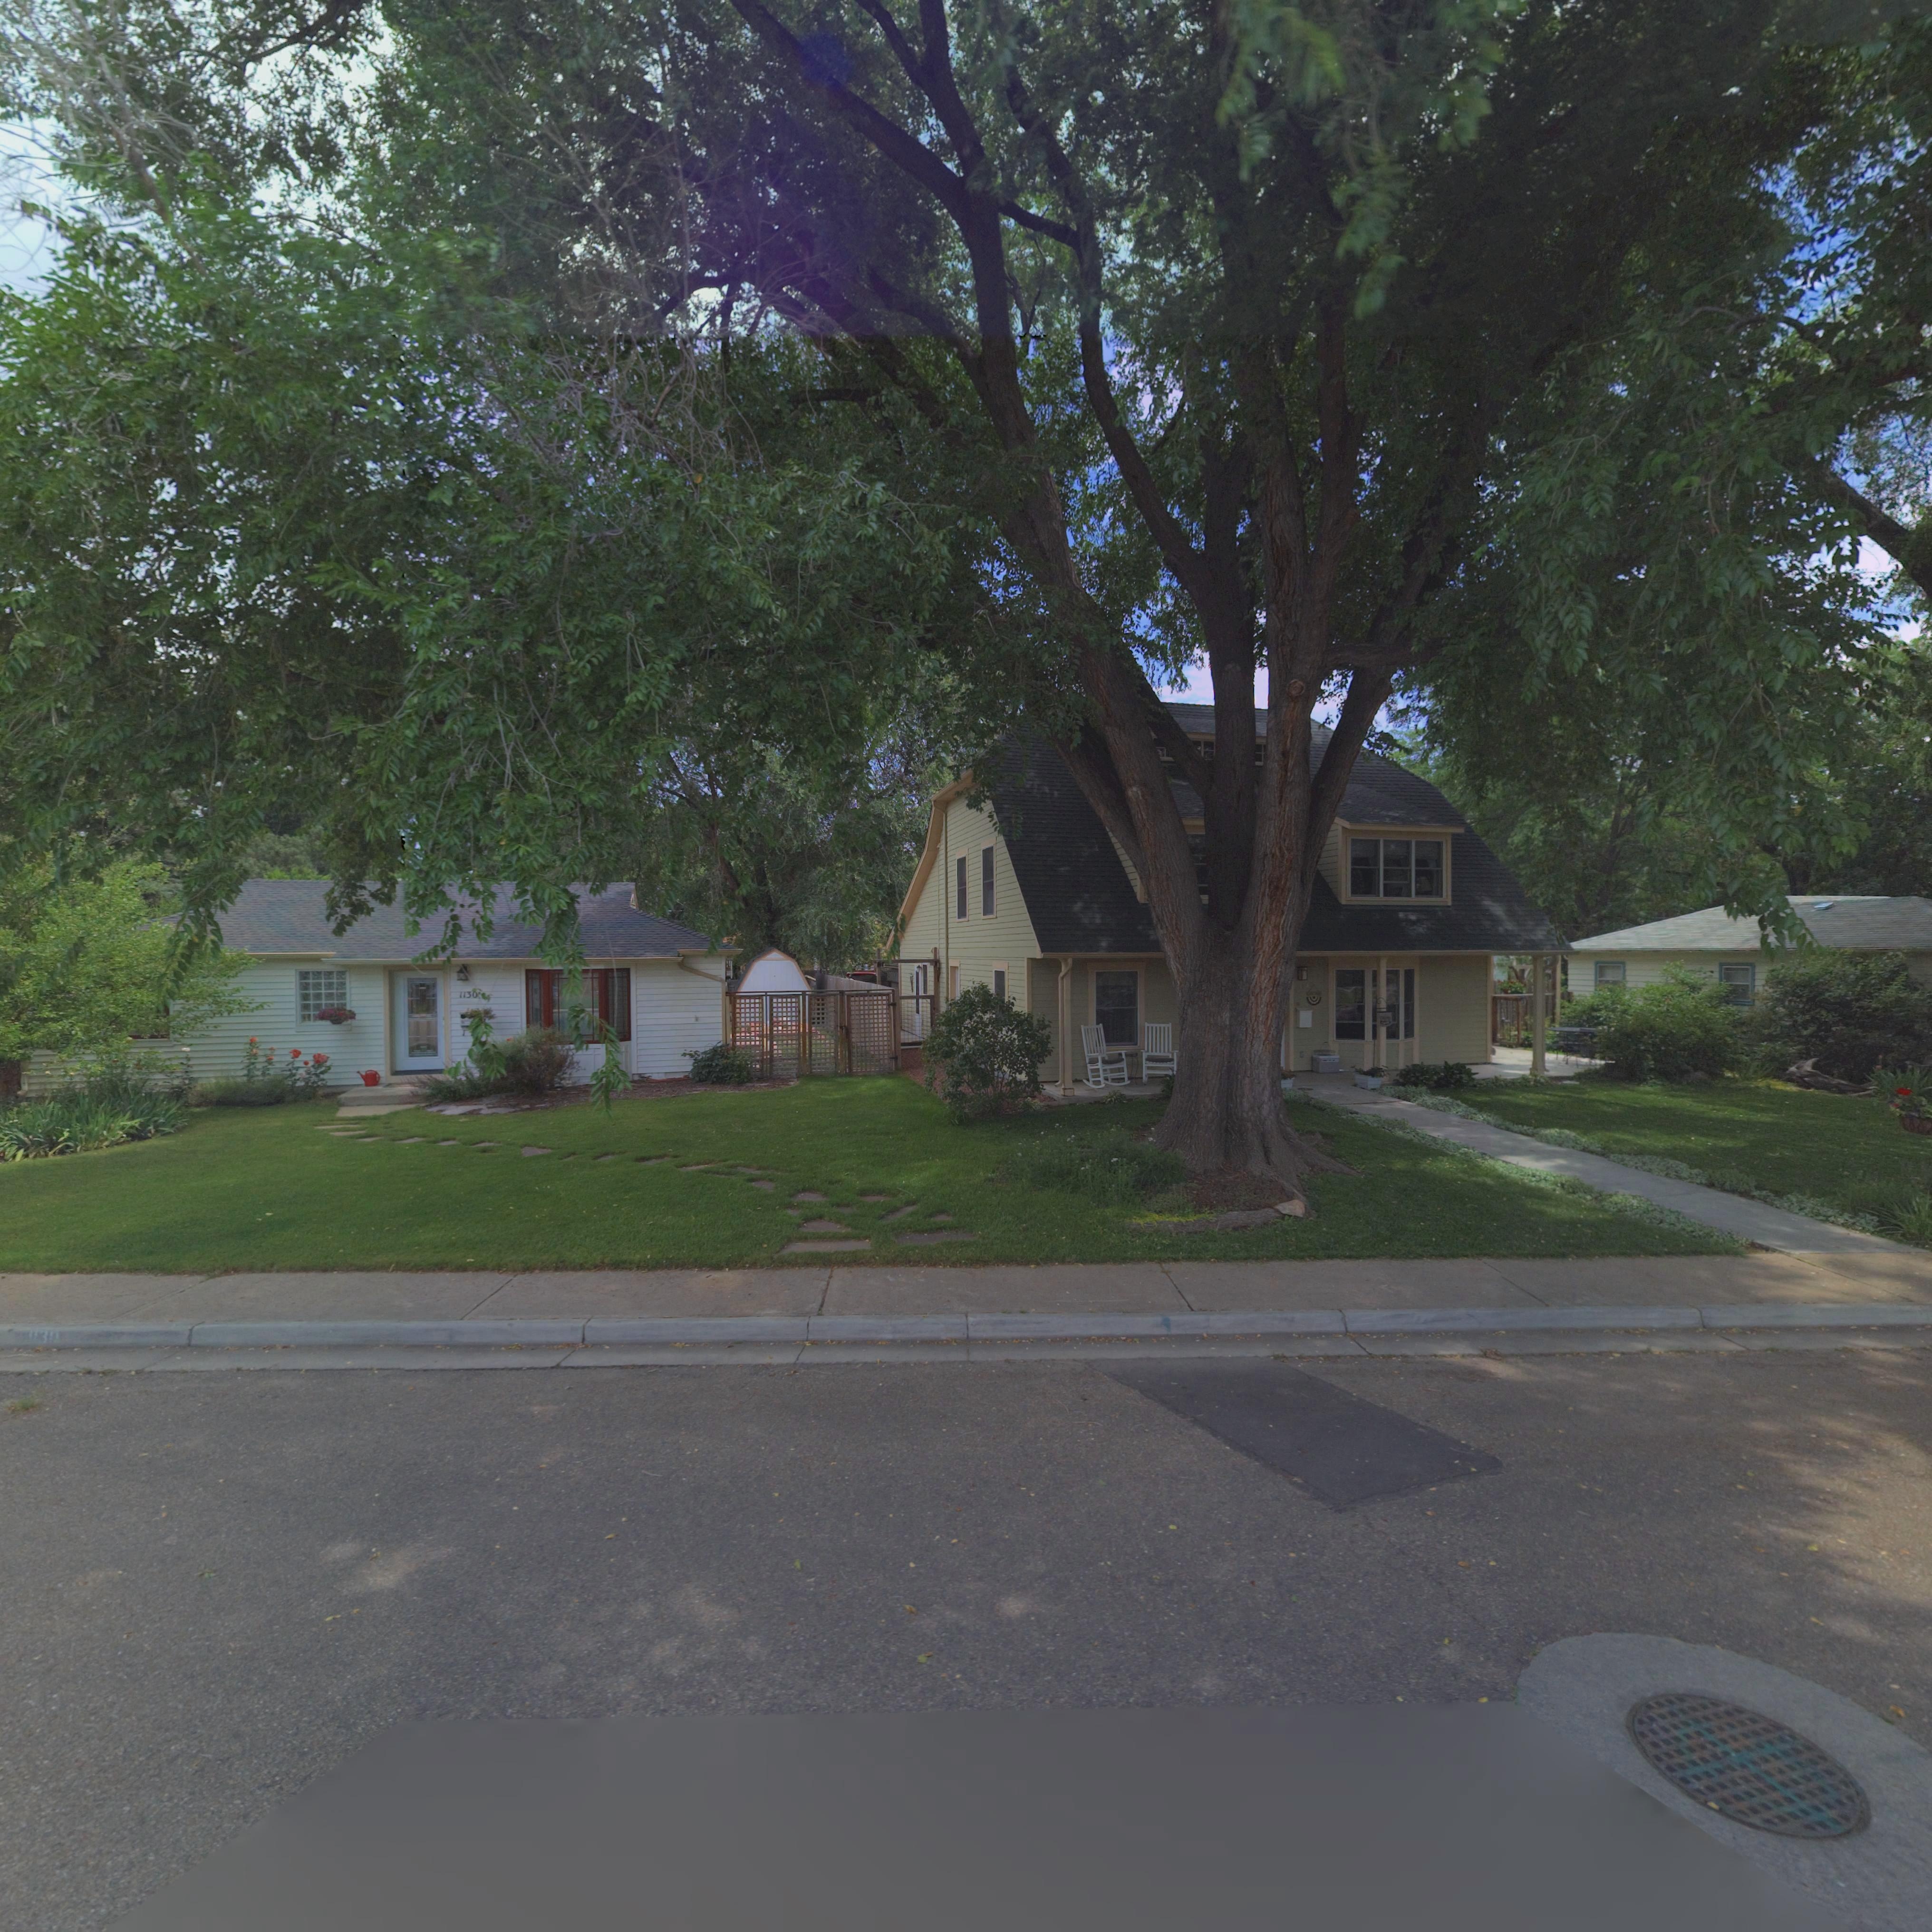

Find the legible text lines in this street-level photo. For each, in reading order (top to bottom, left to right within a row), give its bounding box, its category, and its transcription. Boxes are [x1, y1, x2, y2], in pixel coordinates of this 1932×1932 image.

[459, 991, 478, 998] StreetNumber: 1130